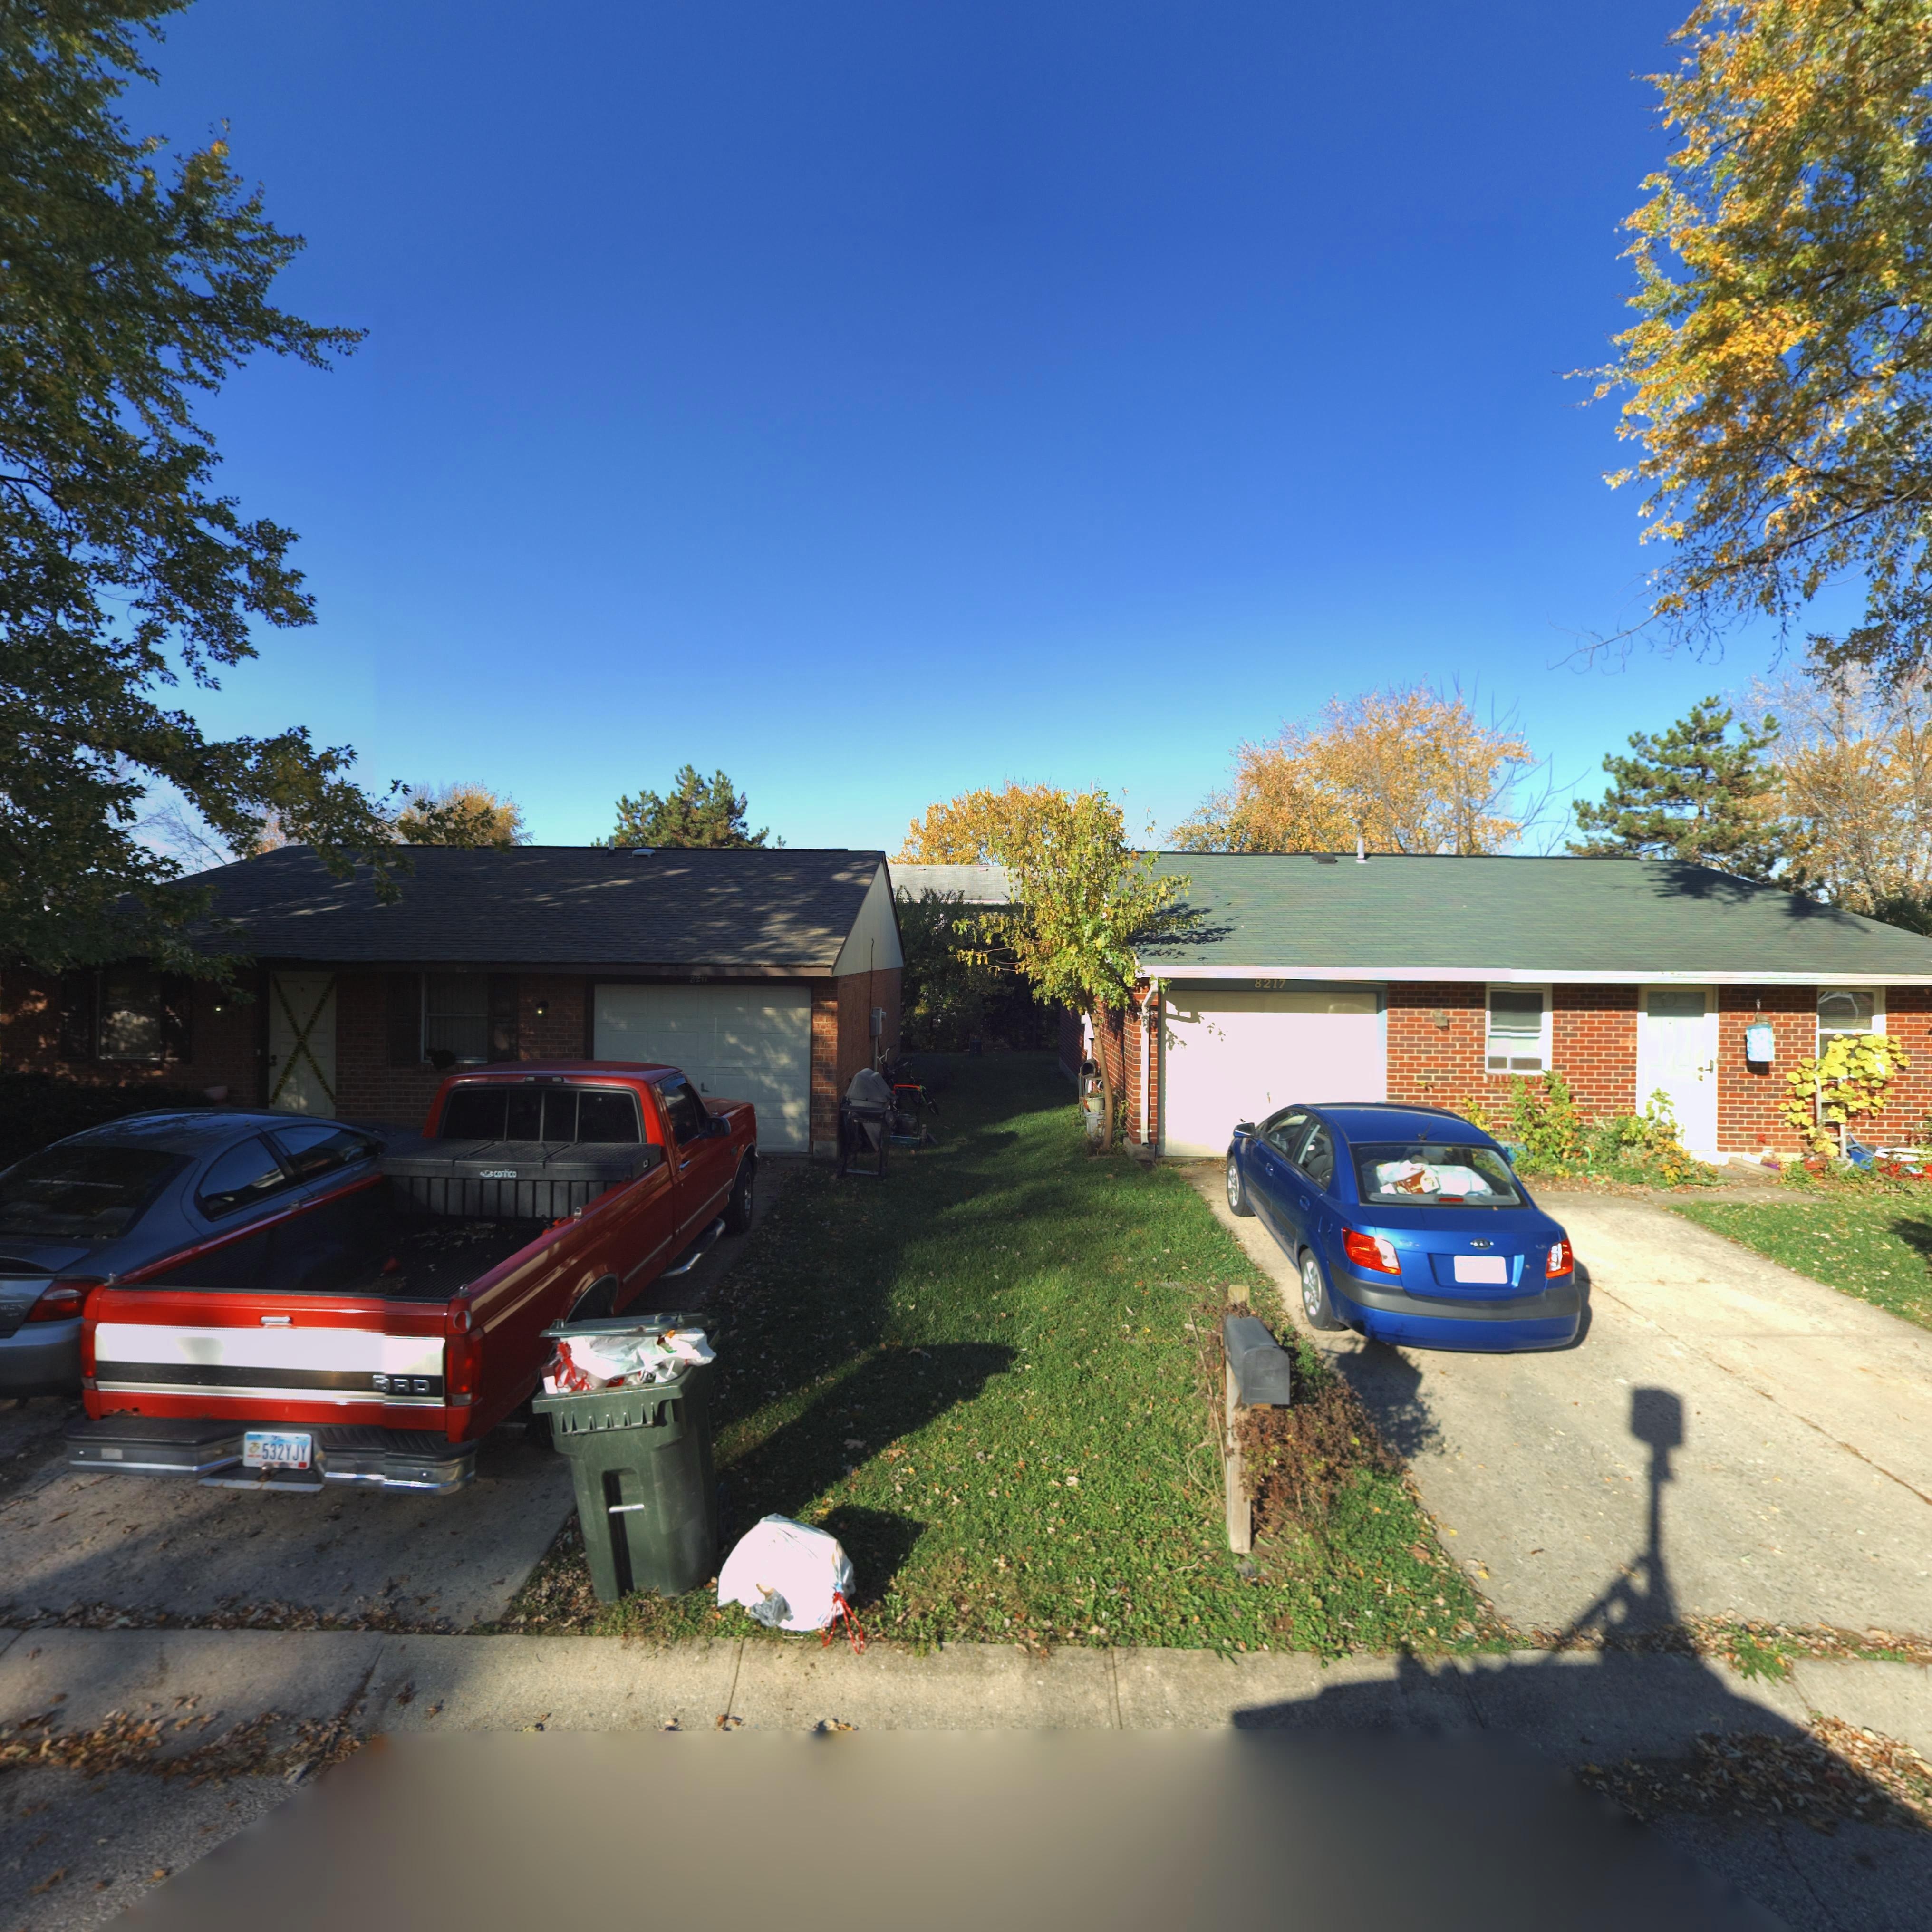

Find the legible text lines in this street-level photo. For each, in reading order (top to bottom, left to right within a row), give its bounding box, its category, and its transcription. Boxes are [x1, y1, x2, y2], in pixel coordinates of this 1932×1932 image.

[689, 975, 709, 983] StreetNumber: 8211
[1254, 978, 1288, 989] StreetNumber: 8217